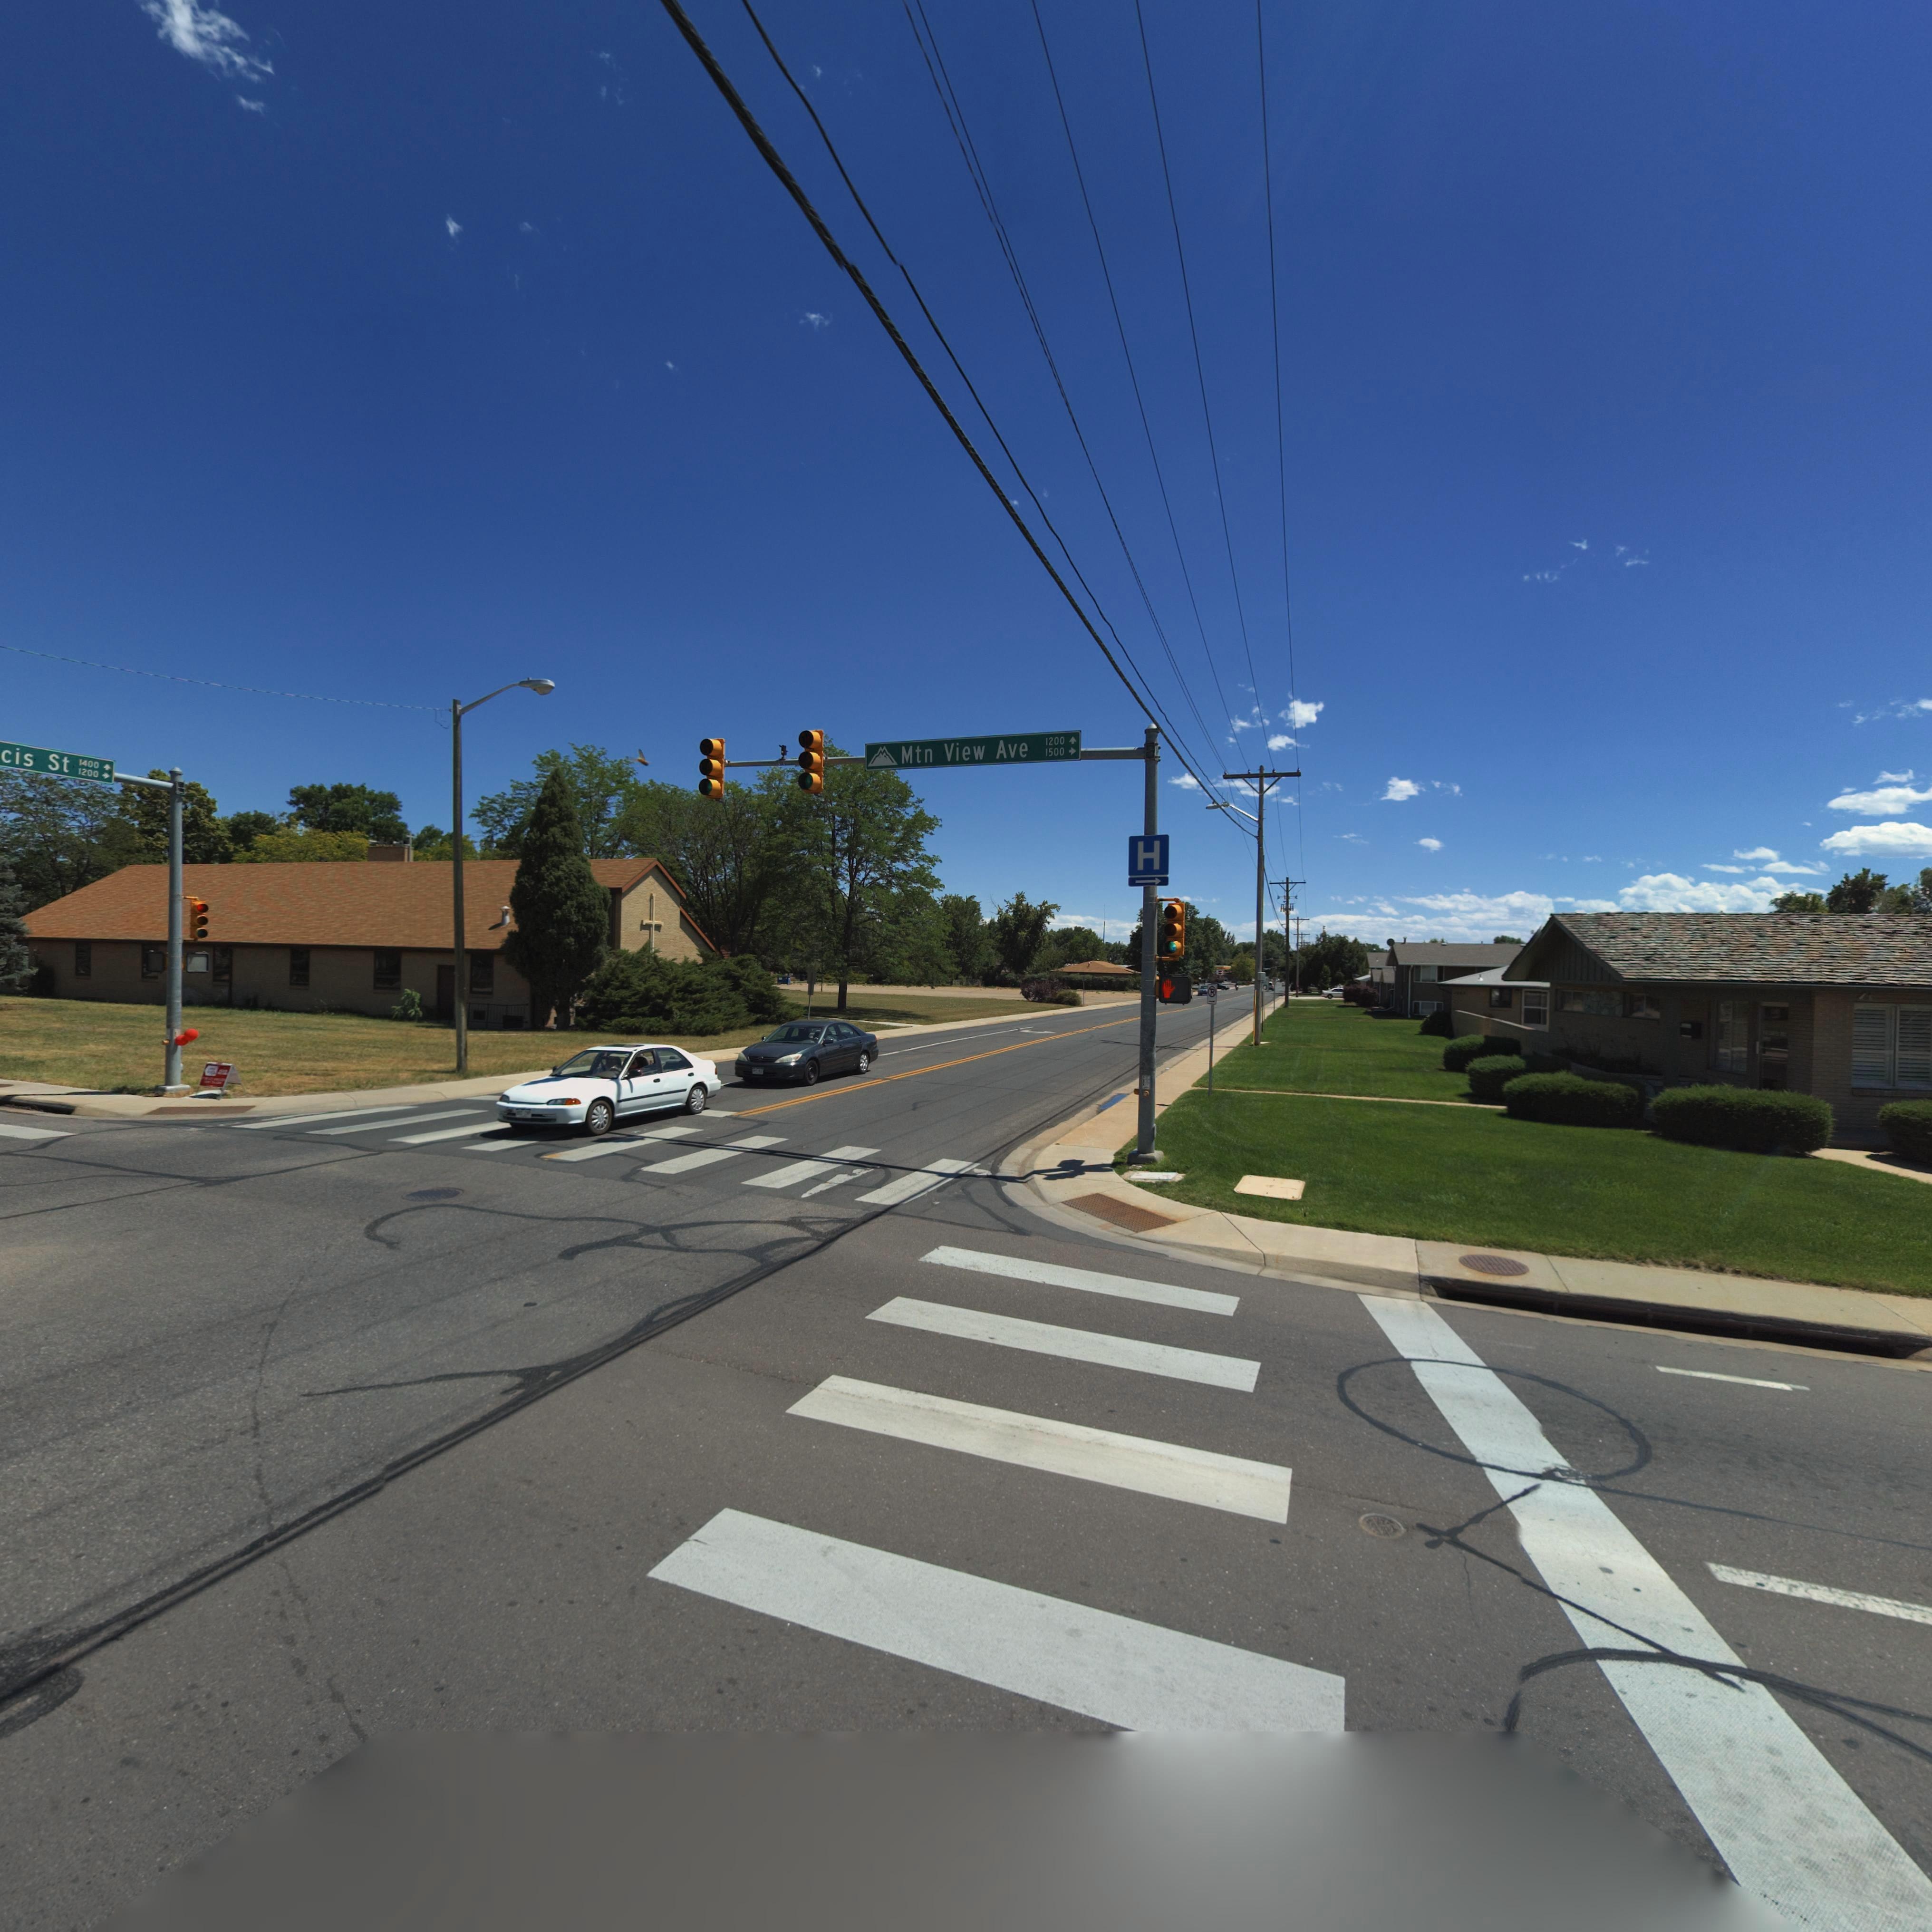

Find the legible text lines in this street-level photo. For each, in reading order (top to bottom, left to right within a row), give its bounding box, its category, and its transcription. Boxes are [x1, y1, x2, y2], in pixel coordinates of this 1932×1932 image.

[1045, 736, 1064, 745] StreetNumberRange: 1200
[901, 738, 1028, 764] StreetName: Mtn View Ave
[1045, 746, 1077, 756] StreetNumberRange: 1500 ->
[0, 747, 70, 773] StreetName: cis St
[78, 758, 99, 769] StreetNumberRange: 1400
[78, 767, 110, 779] StreetNumberRange: 1200 ->